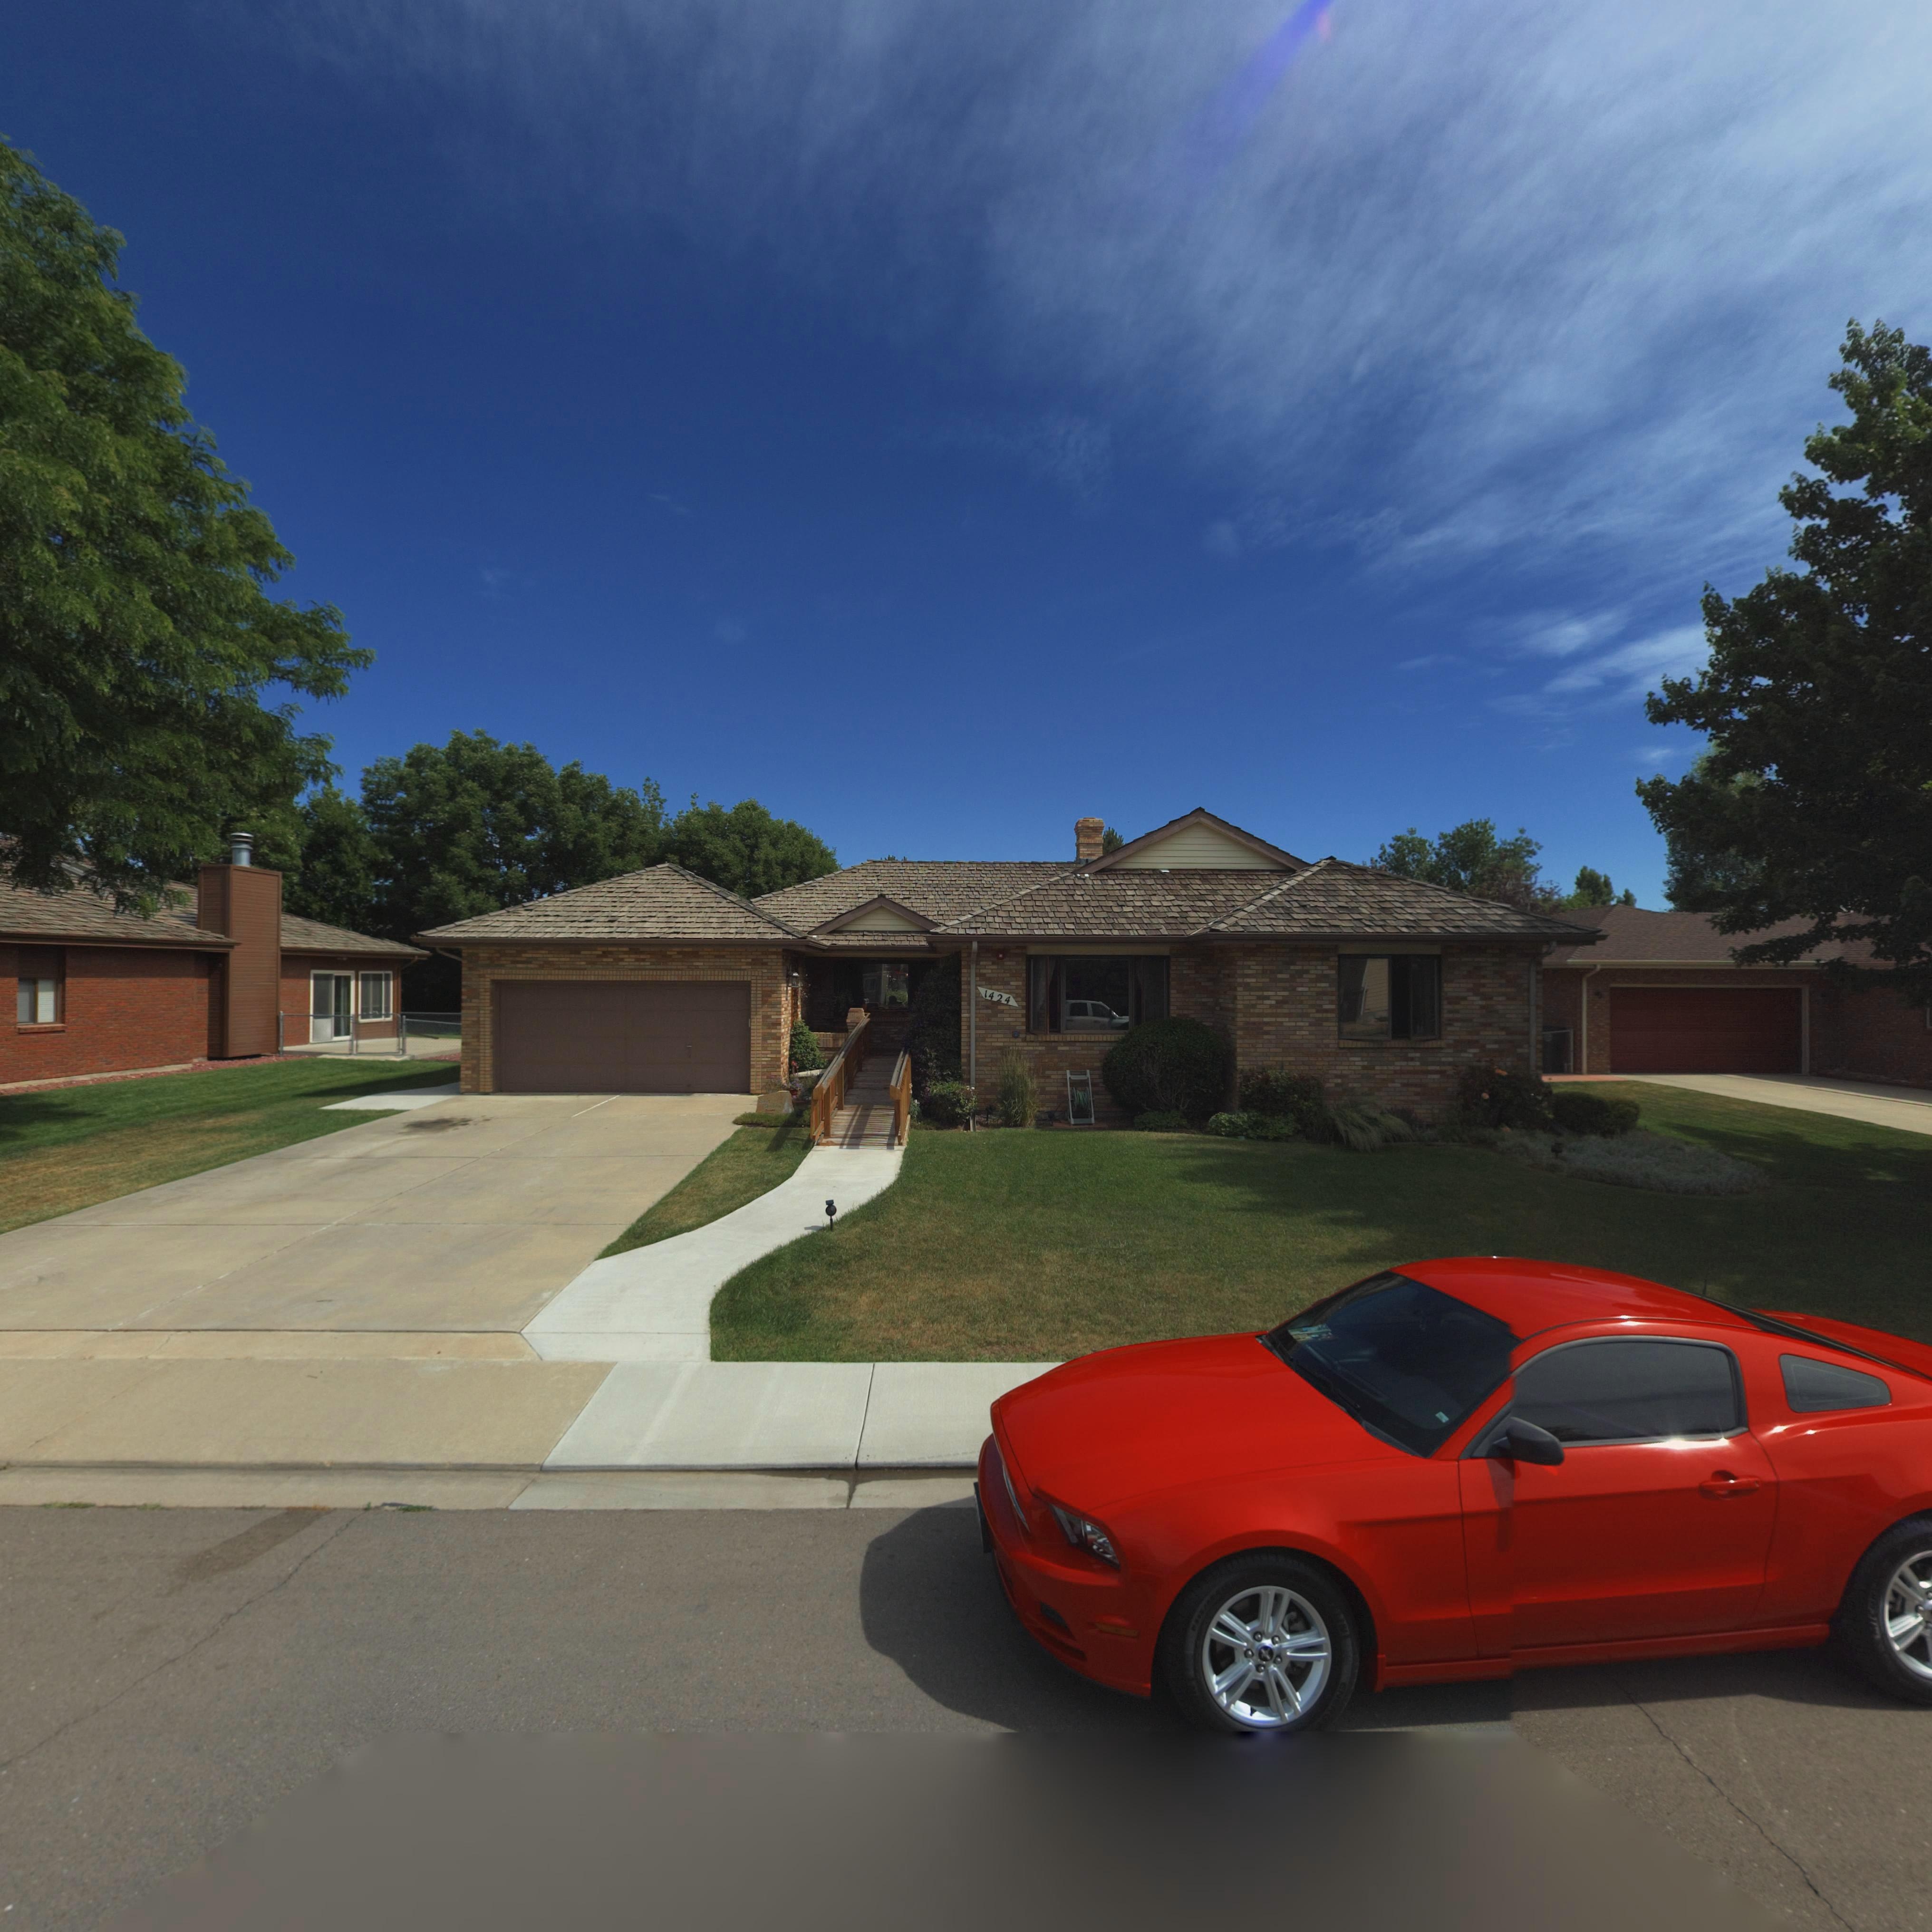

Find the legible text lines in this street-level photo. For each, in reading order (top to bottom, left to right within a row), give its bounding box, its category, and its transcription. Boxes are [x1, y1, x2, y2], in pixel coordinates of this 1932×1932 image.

[984, 989, 1011, 1004] StreetNumber: 1424